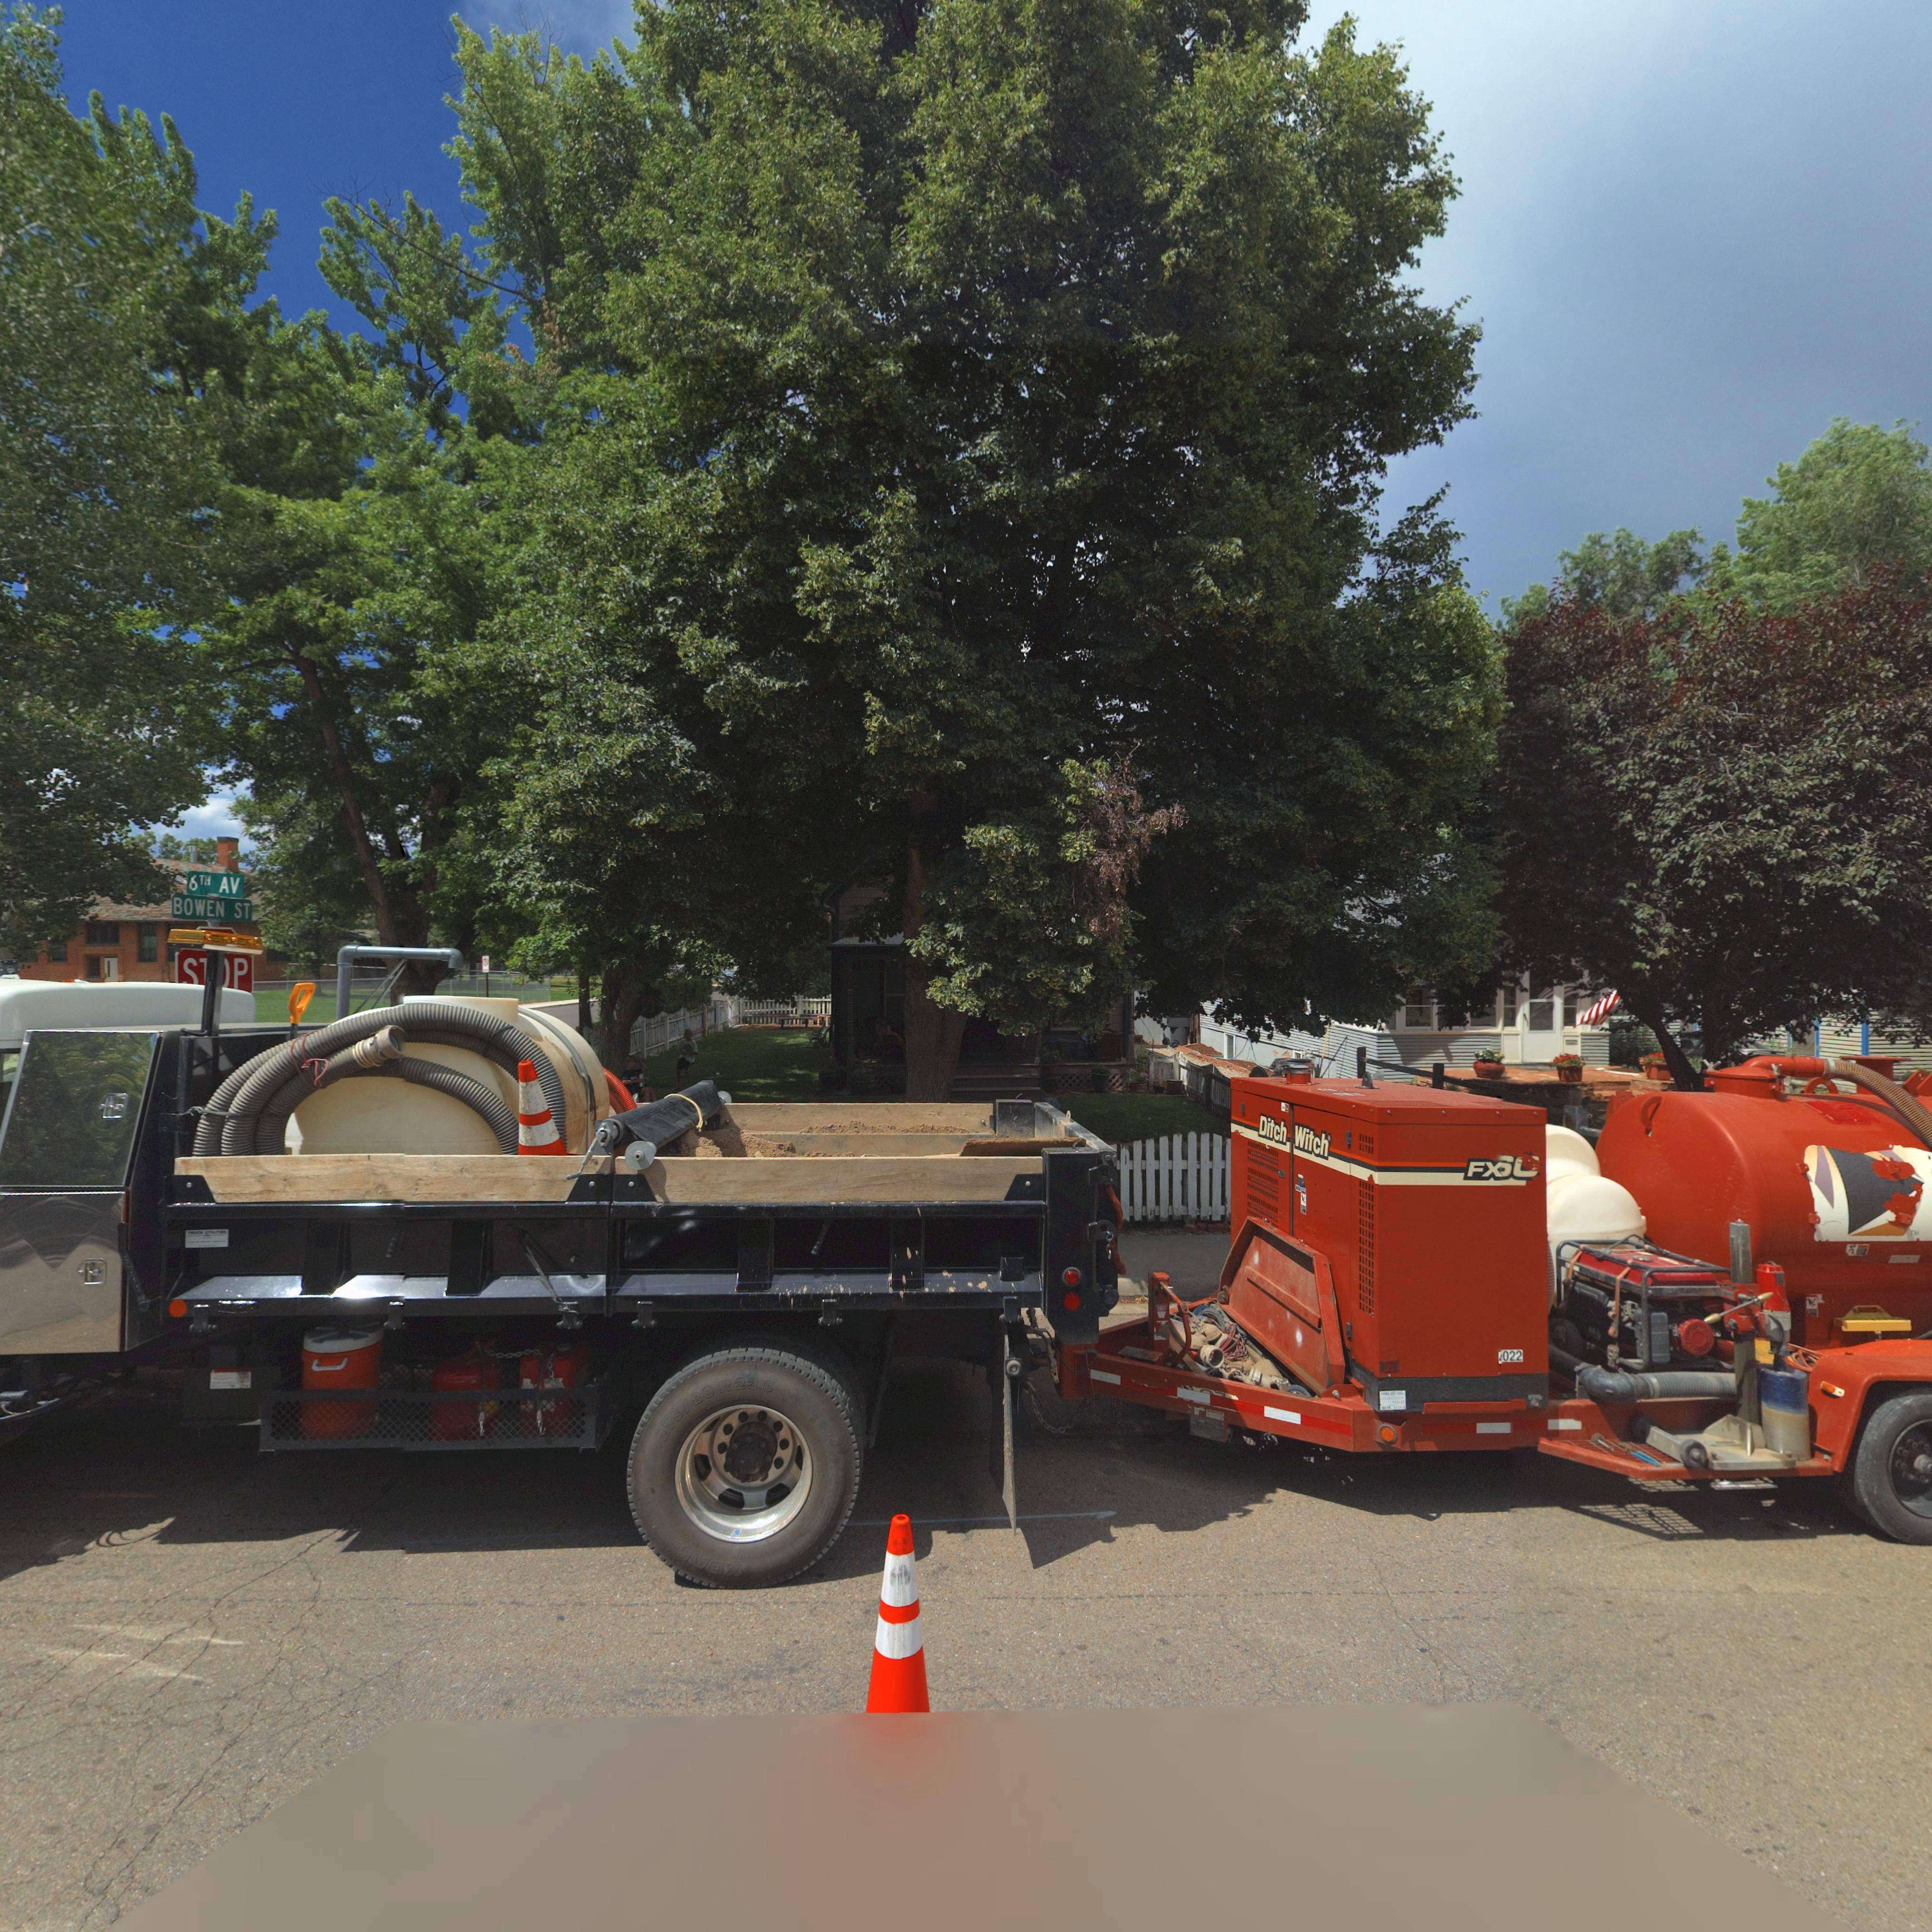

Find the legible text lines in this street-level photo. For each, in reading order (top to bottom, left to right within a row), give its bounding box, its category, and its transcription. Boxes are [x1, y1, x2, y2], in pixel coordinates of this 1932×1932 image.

[188, 872, 241, 895] StreetName: 6TH AV
[172, 896, 251, 919] StreetName: BOWEN ST